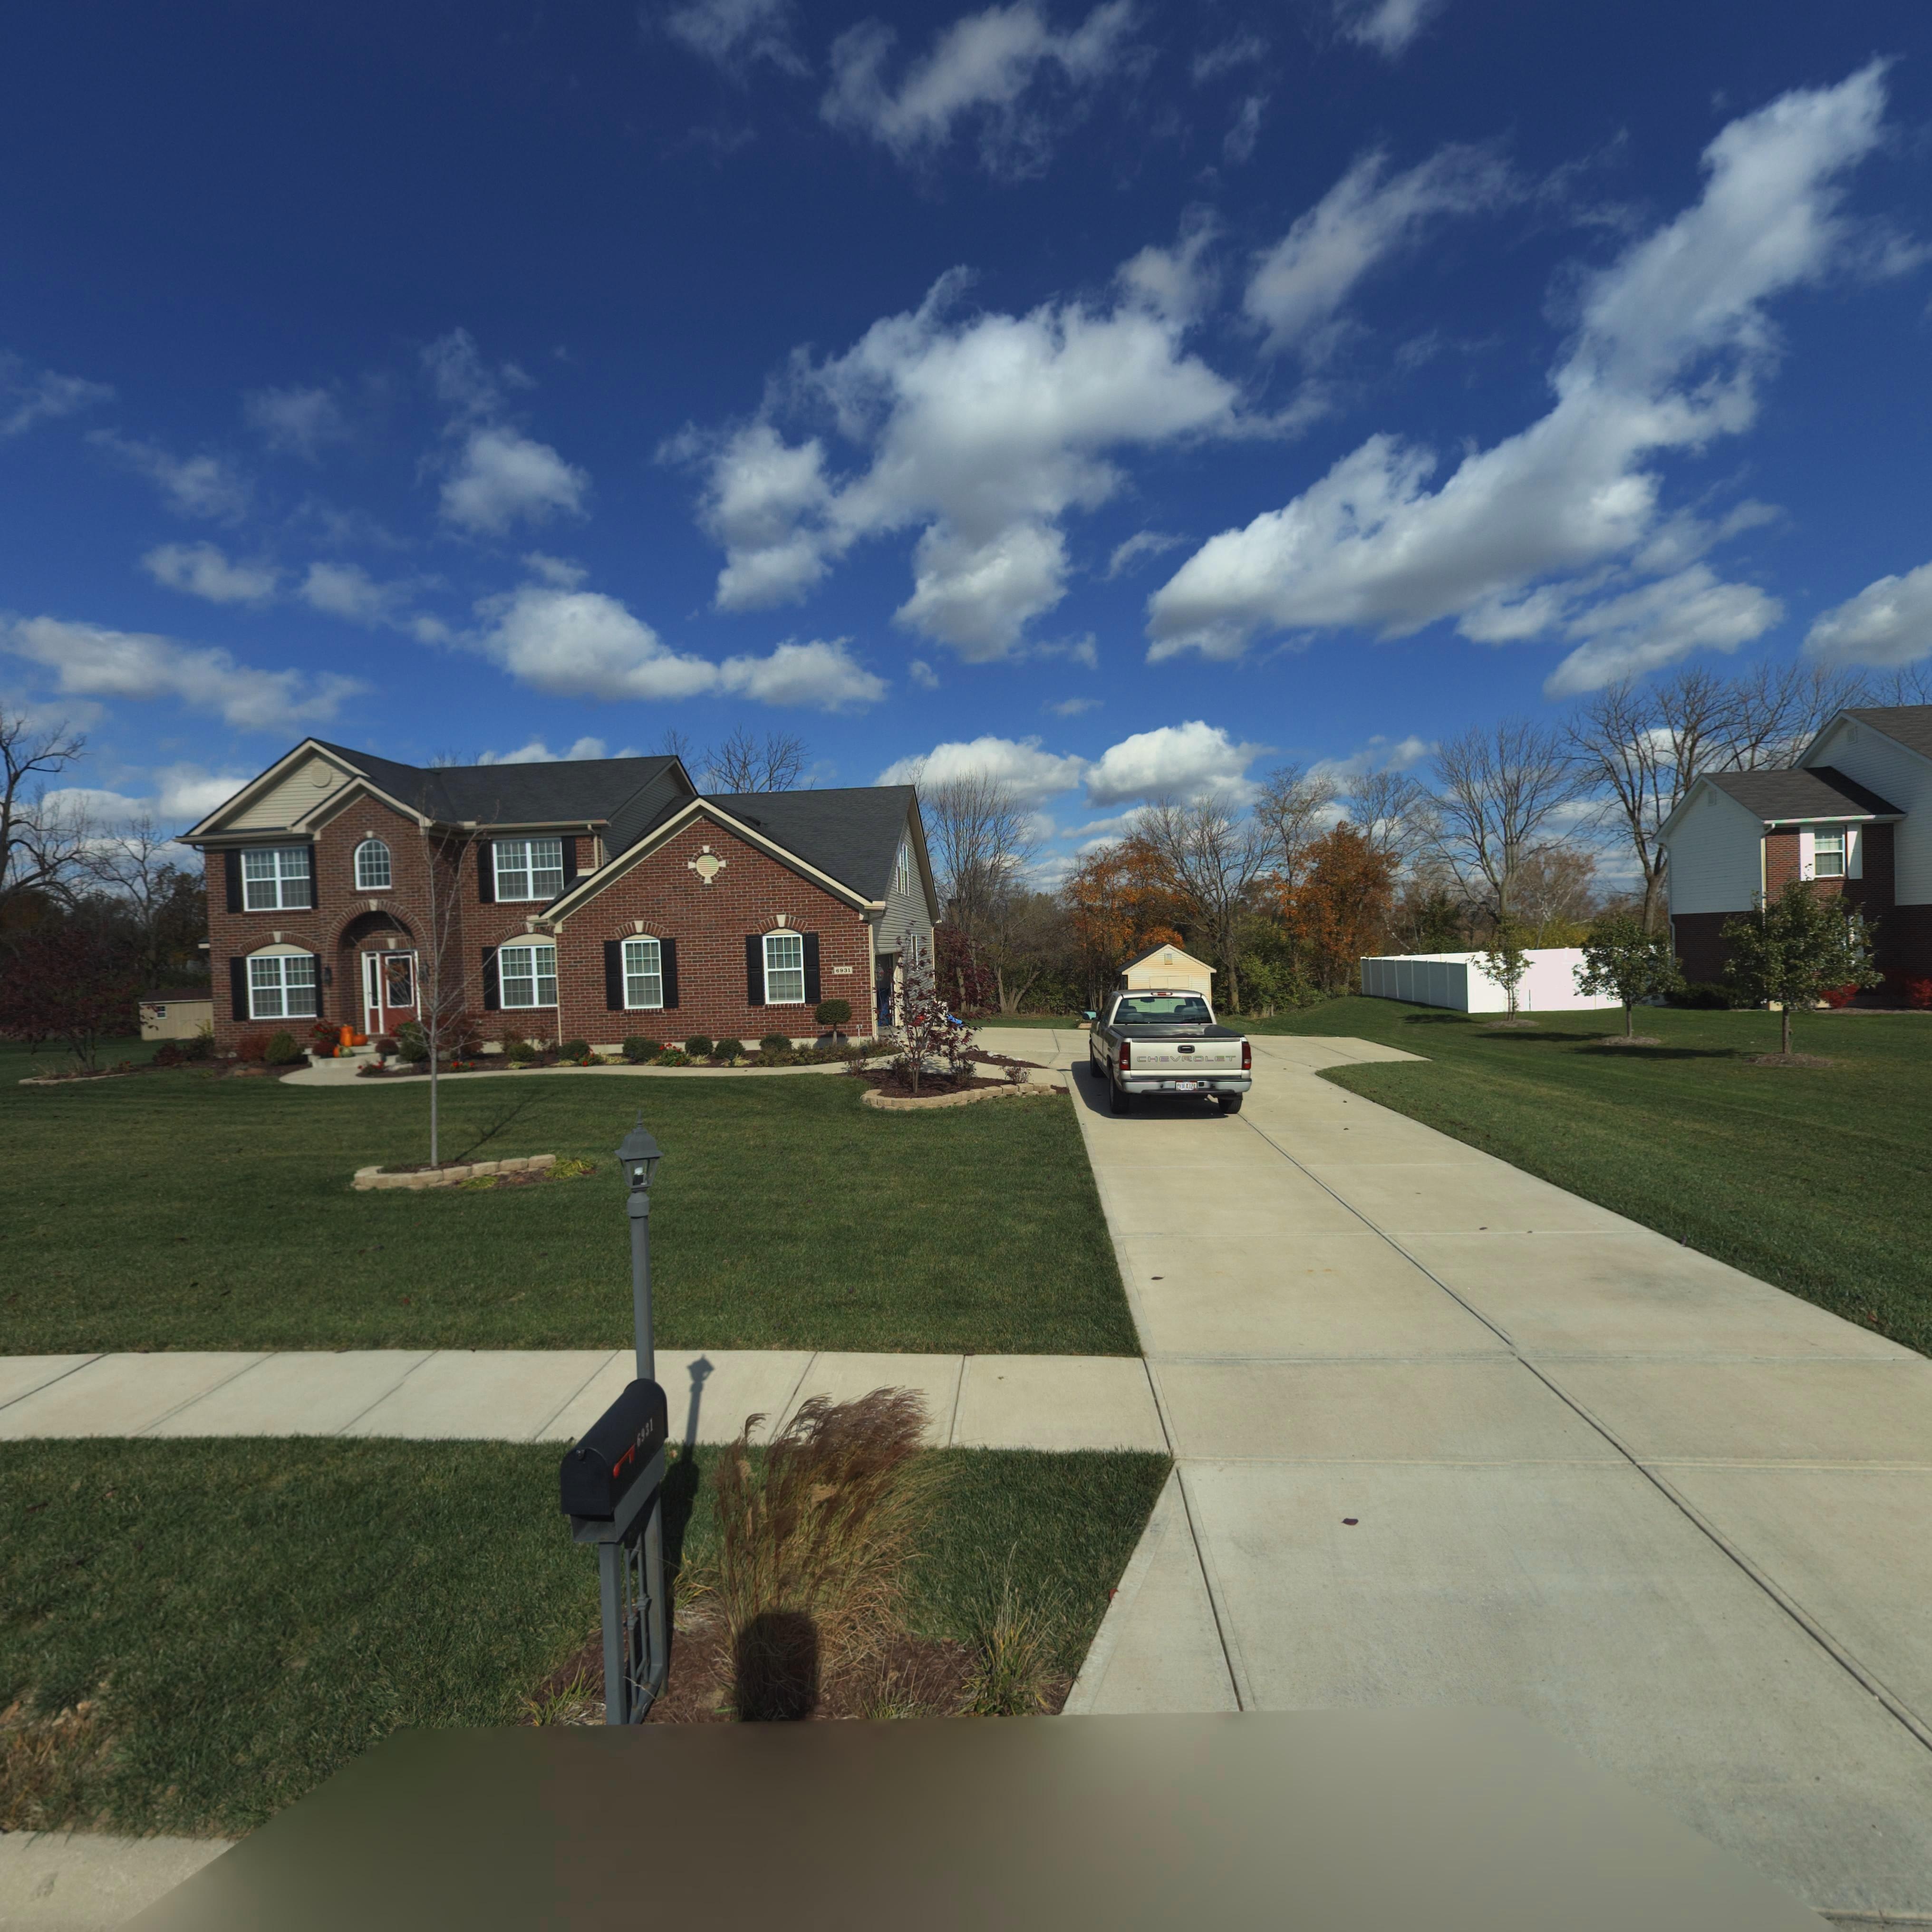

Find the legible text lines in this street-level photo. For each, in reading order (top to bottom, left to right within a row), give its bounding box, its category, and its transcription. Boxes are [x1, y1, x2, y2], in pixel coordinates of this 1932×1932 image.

[835, 967, 851, 973] StreetNumber: 6931
[636, 1416, 654, 1448] StreetNumber: 6931